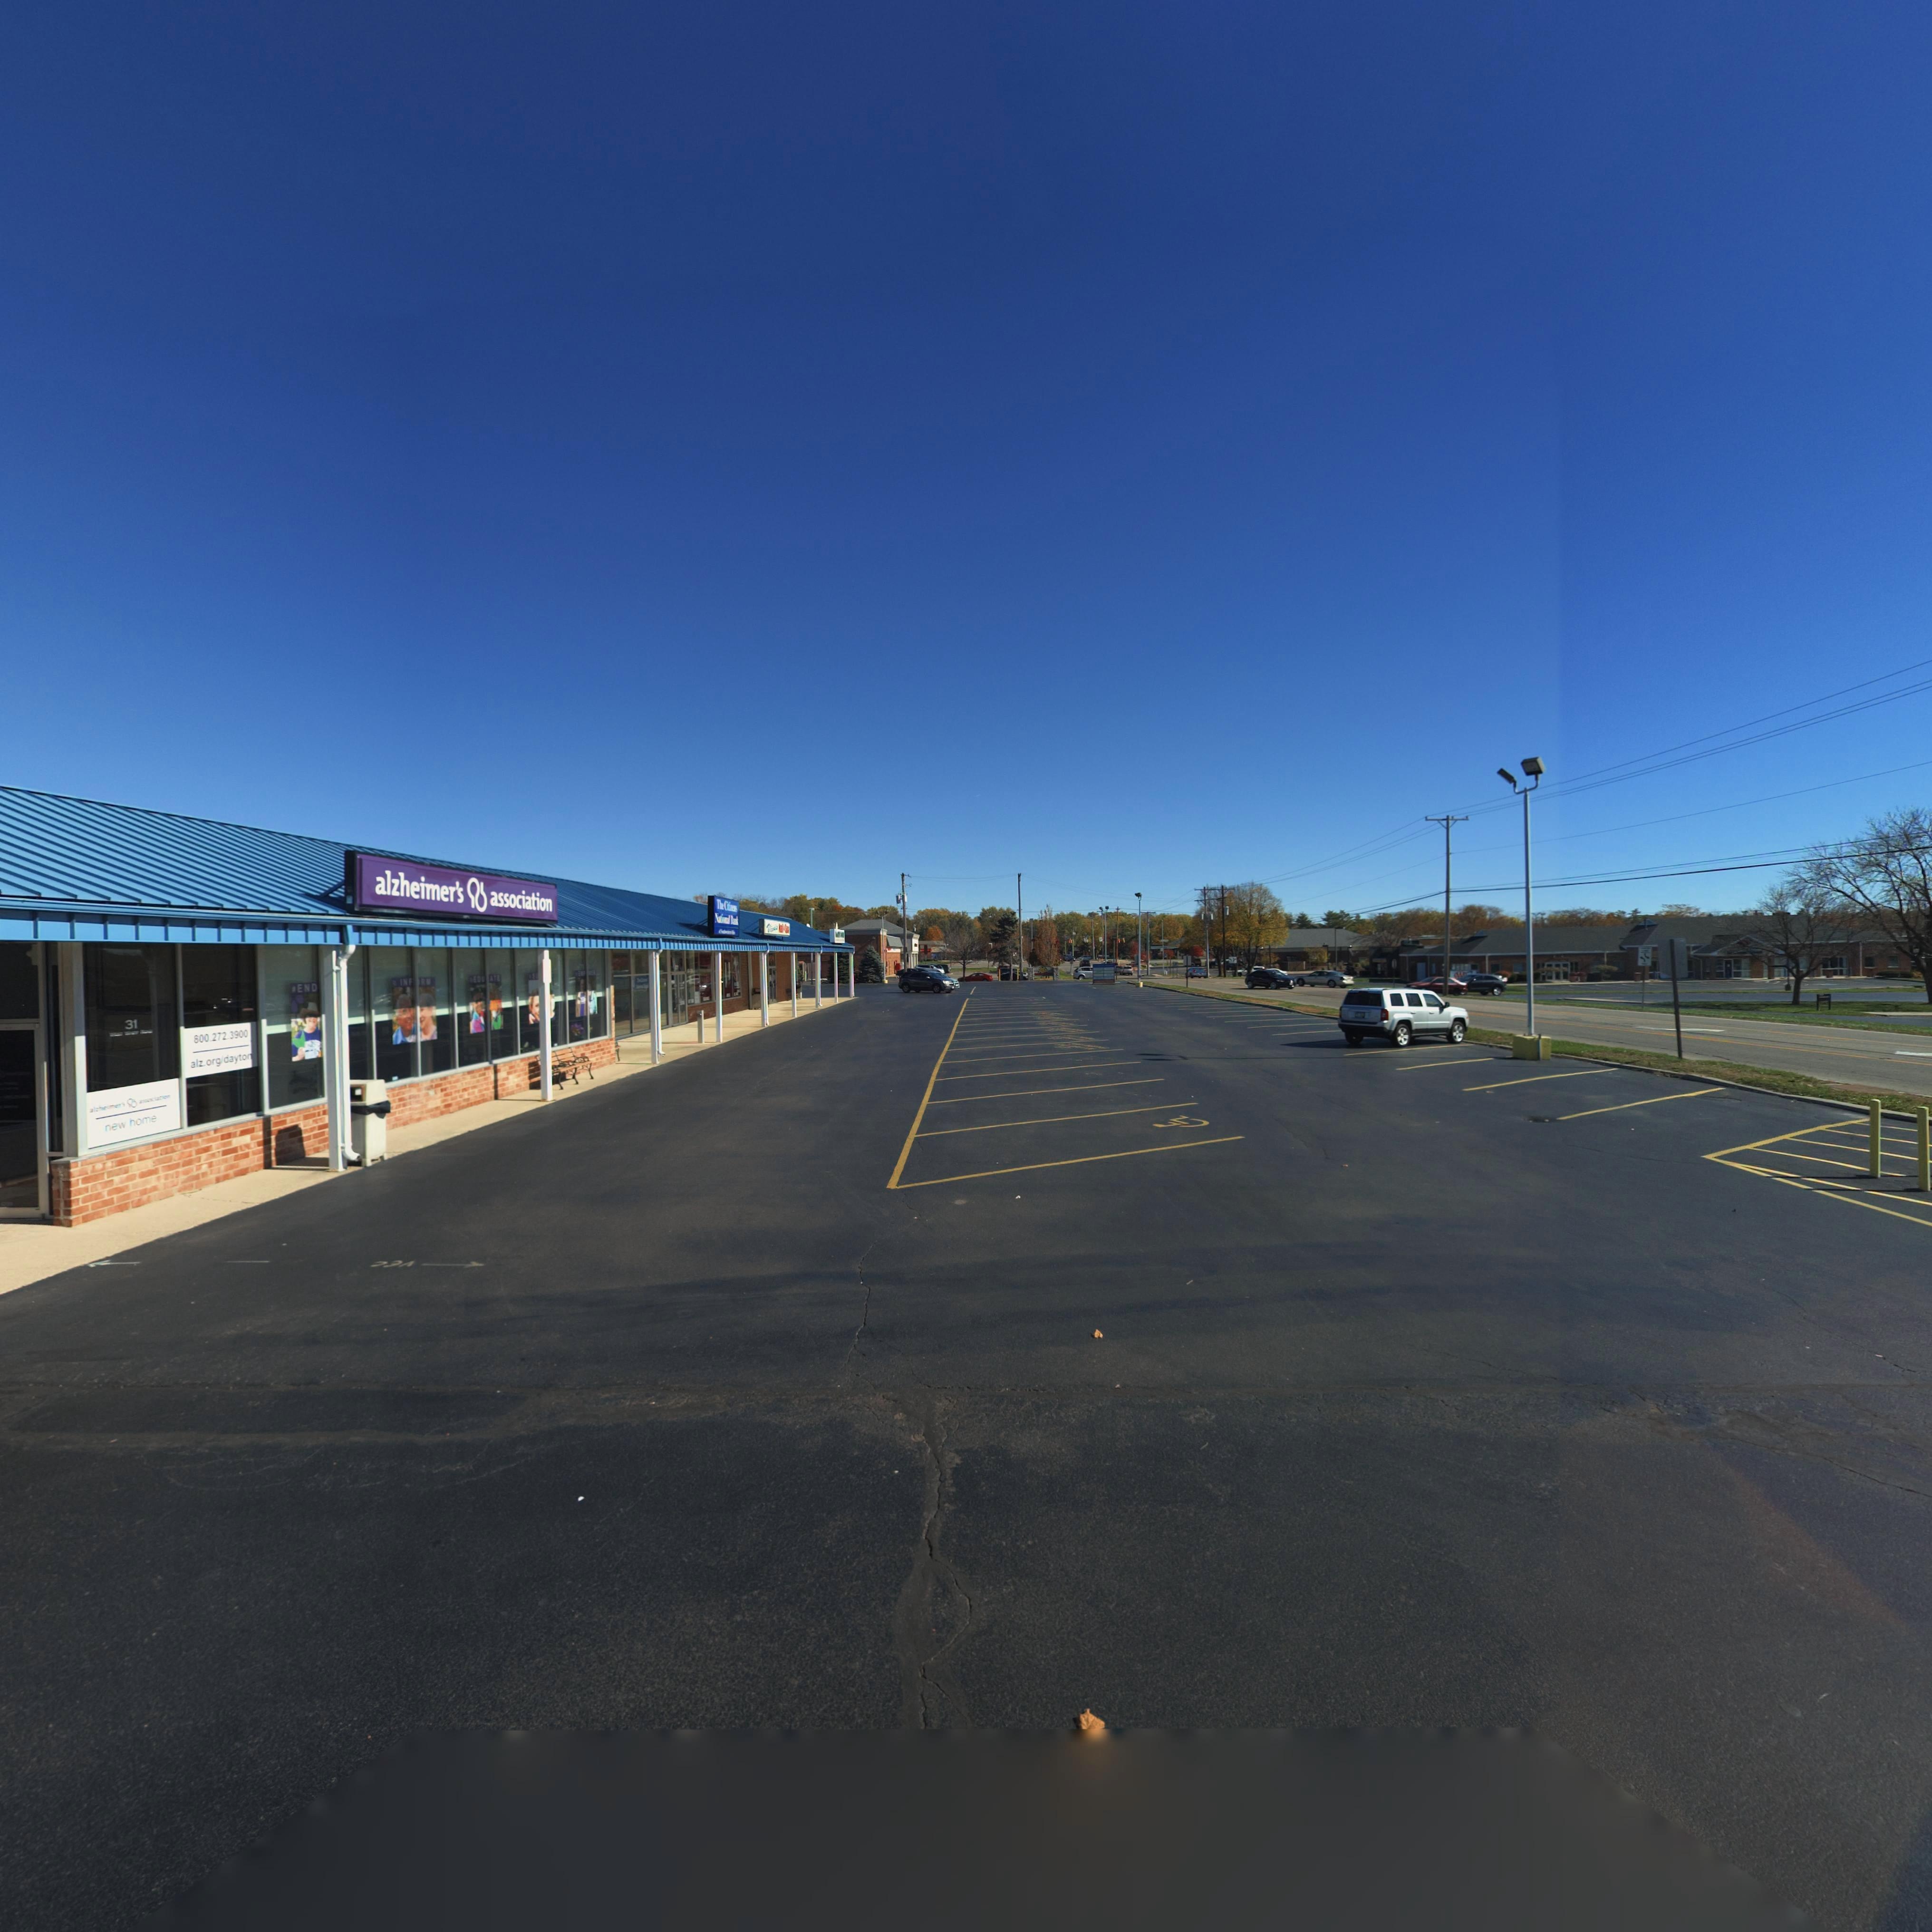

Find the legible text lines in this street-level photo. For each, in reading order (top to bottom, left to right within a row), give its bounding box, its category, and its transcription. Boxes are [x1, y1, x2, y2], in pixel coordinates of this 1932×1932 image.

[374, 869, 553, 913] BusinessName: alzheimer's * association
[296, 983, 318, 994] None: END
[399, 977, 432, 987] None: INF*RM
[473, 974, 501, 984] None: EDU*ATE
[531, 973, 536, 980] None: S
[124, 1018, 138, 1031] StreetNumber: 31
[193, 1028, 249, 1044] None: 800.272.3900
[190, 1053, 253, 1069] None: alz.org/dayton
[104, 1114, 157, 1133] None: new home